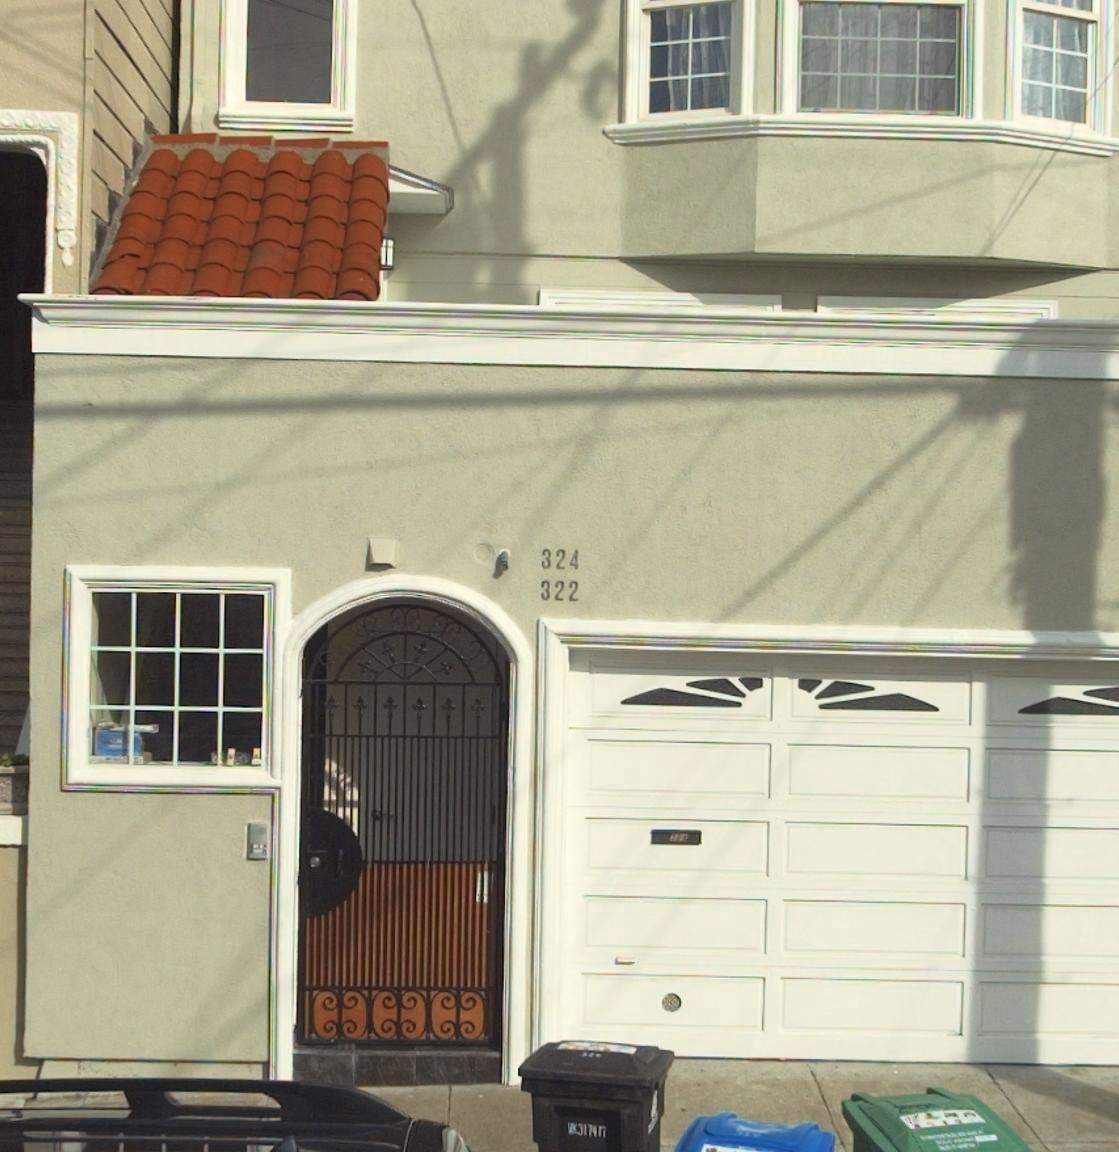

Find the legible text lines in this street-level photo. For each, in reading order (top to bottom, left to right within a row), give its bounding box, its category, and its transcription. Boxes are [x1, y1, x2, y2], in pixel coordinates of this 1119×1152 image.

[541, 548, 580, 570] StreetNumber: 324
[540, 578, 579, 602] StreetNumber: 322
[577, 1122, 608, 1140] None: 317417